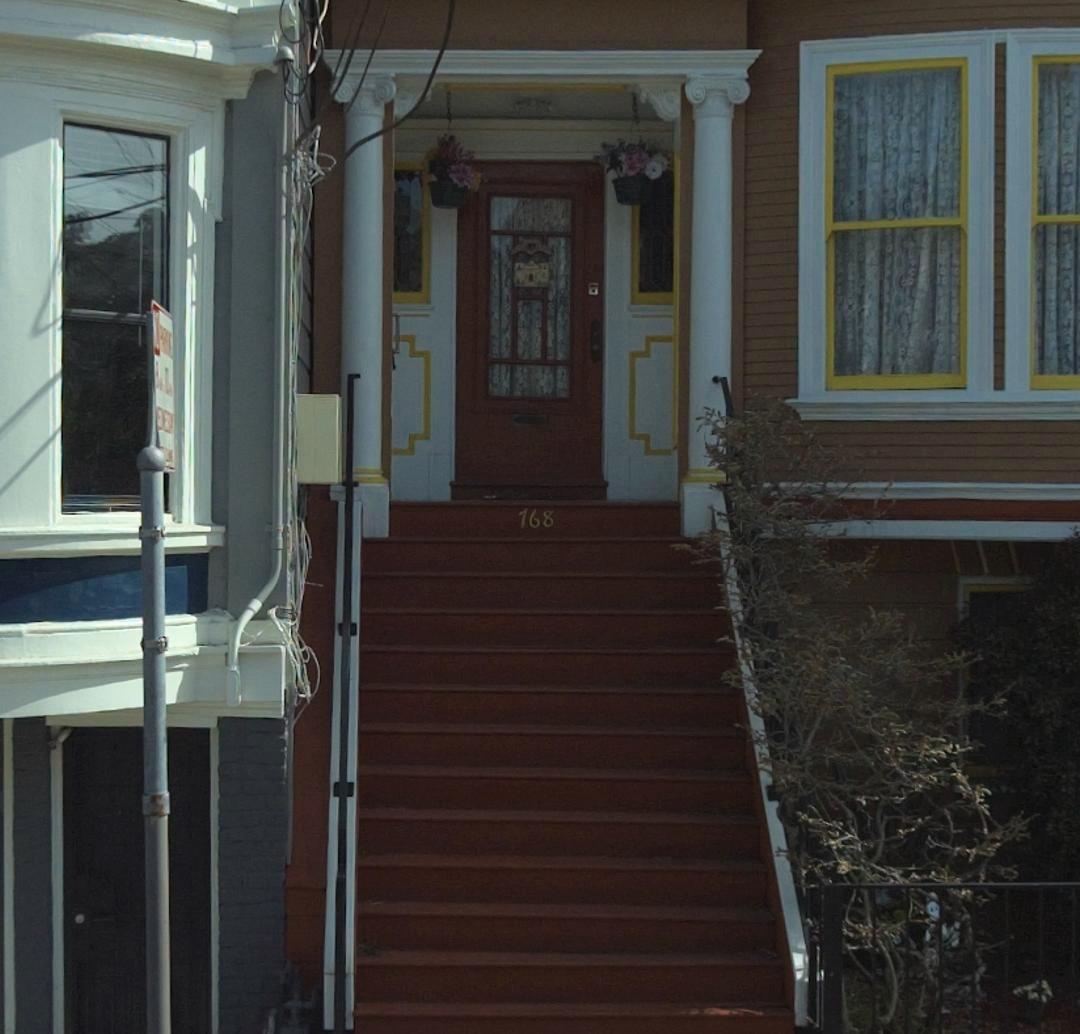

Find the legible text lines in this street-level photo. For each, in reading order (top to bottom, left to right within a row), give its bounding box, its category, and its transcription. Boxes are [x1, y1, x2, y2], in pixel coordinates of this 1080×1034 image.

[516, 506, 556, 531] StreetNumber: 768